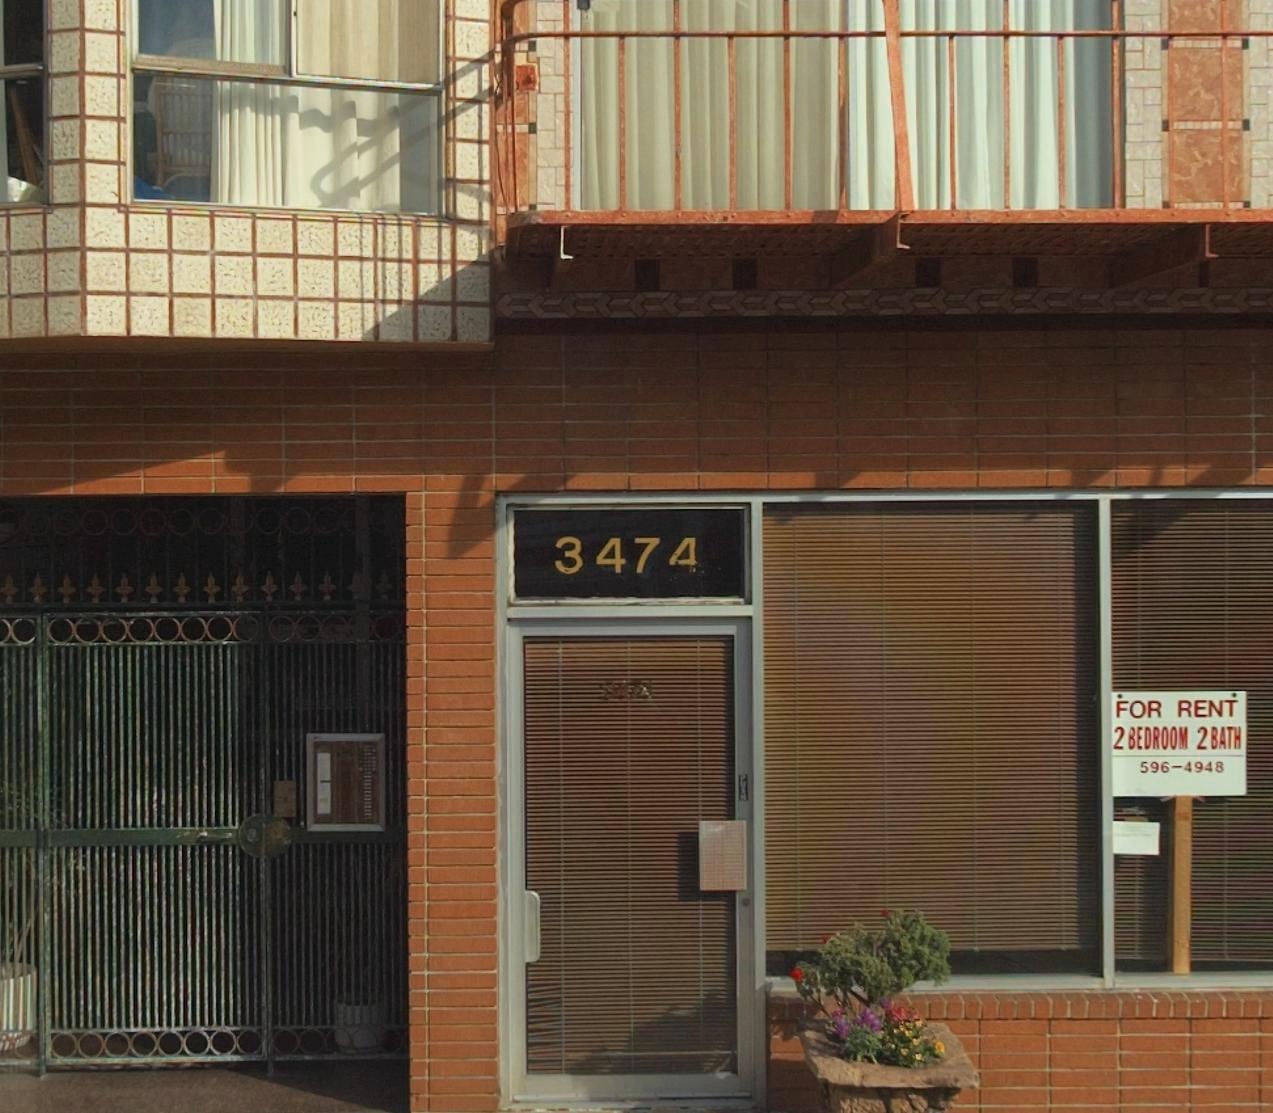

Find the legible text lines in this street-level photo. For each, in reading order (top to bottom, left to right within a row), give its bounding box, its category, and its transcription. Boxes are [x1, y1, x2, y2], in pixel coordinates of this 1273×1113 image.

[552, 533, 700, 578] StreetNumber: 3474
[1113, 697, 1240, 720] None: FOR RENT
[1111, 723, 1243, 752] None: 2BEDROOM 2BATH
[1138, 759, 1226, 775] None: 596-4948